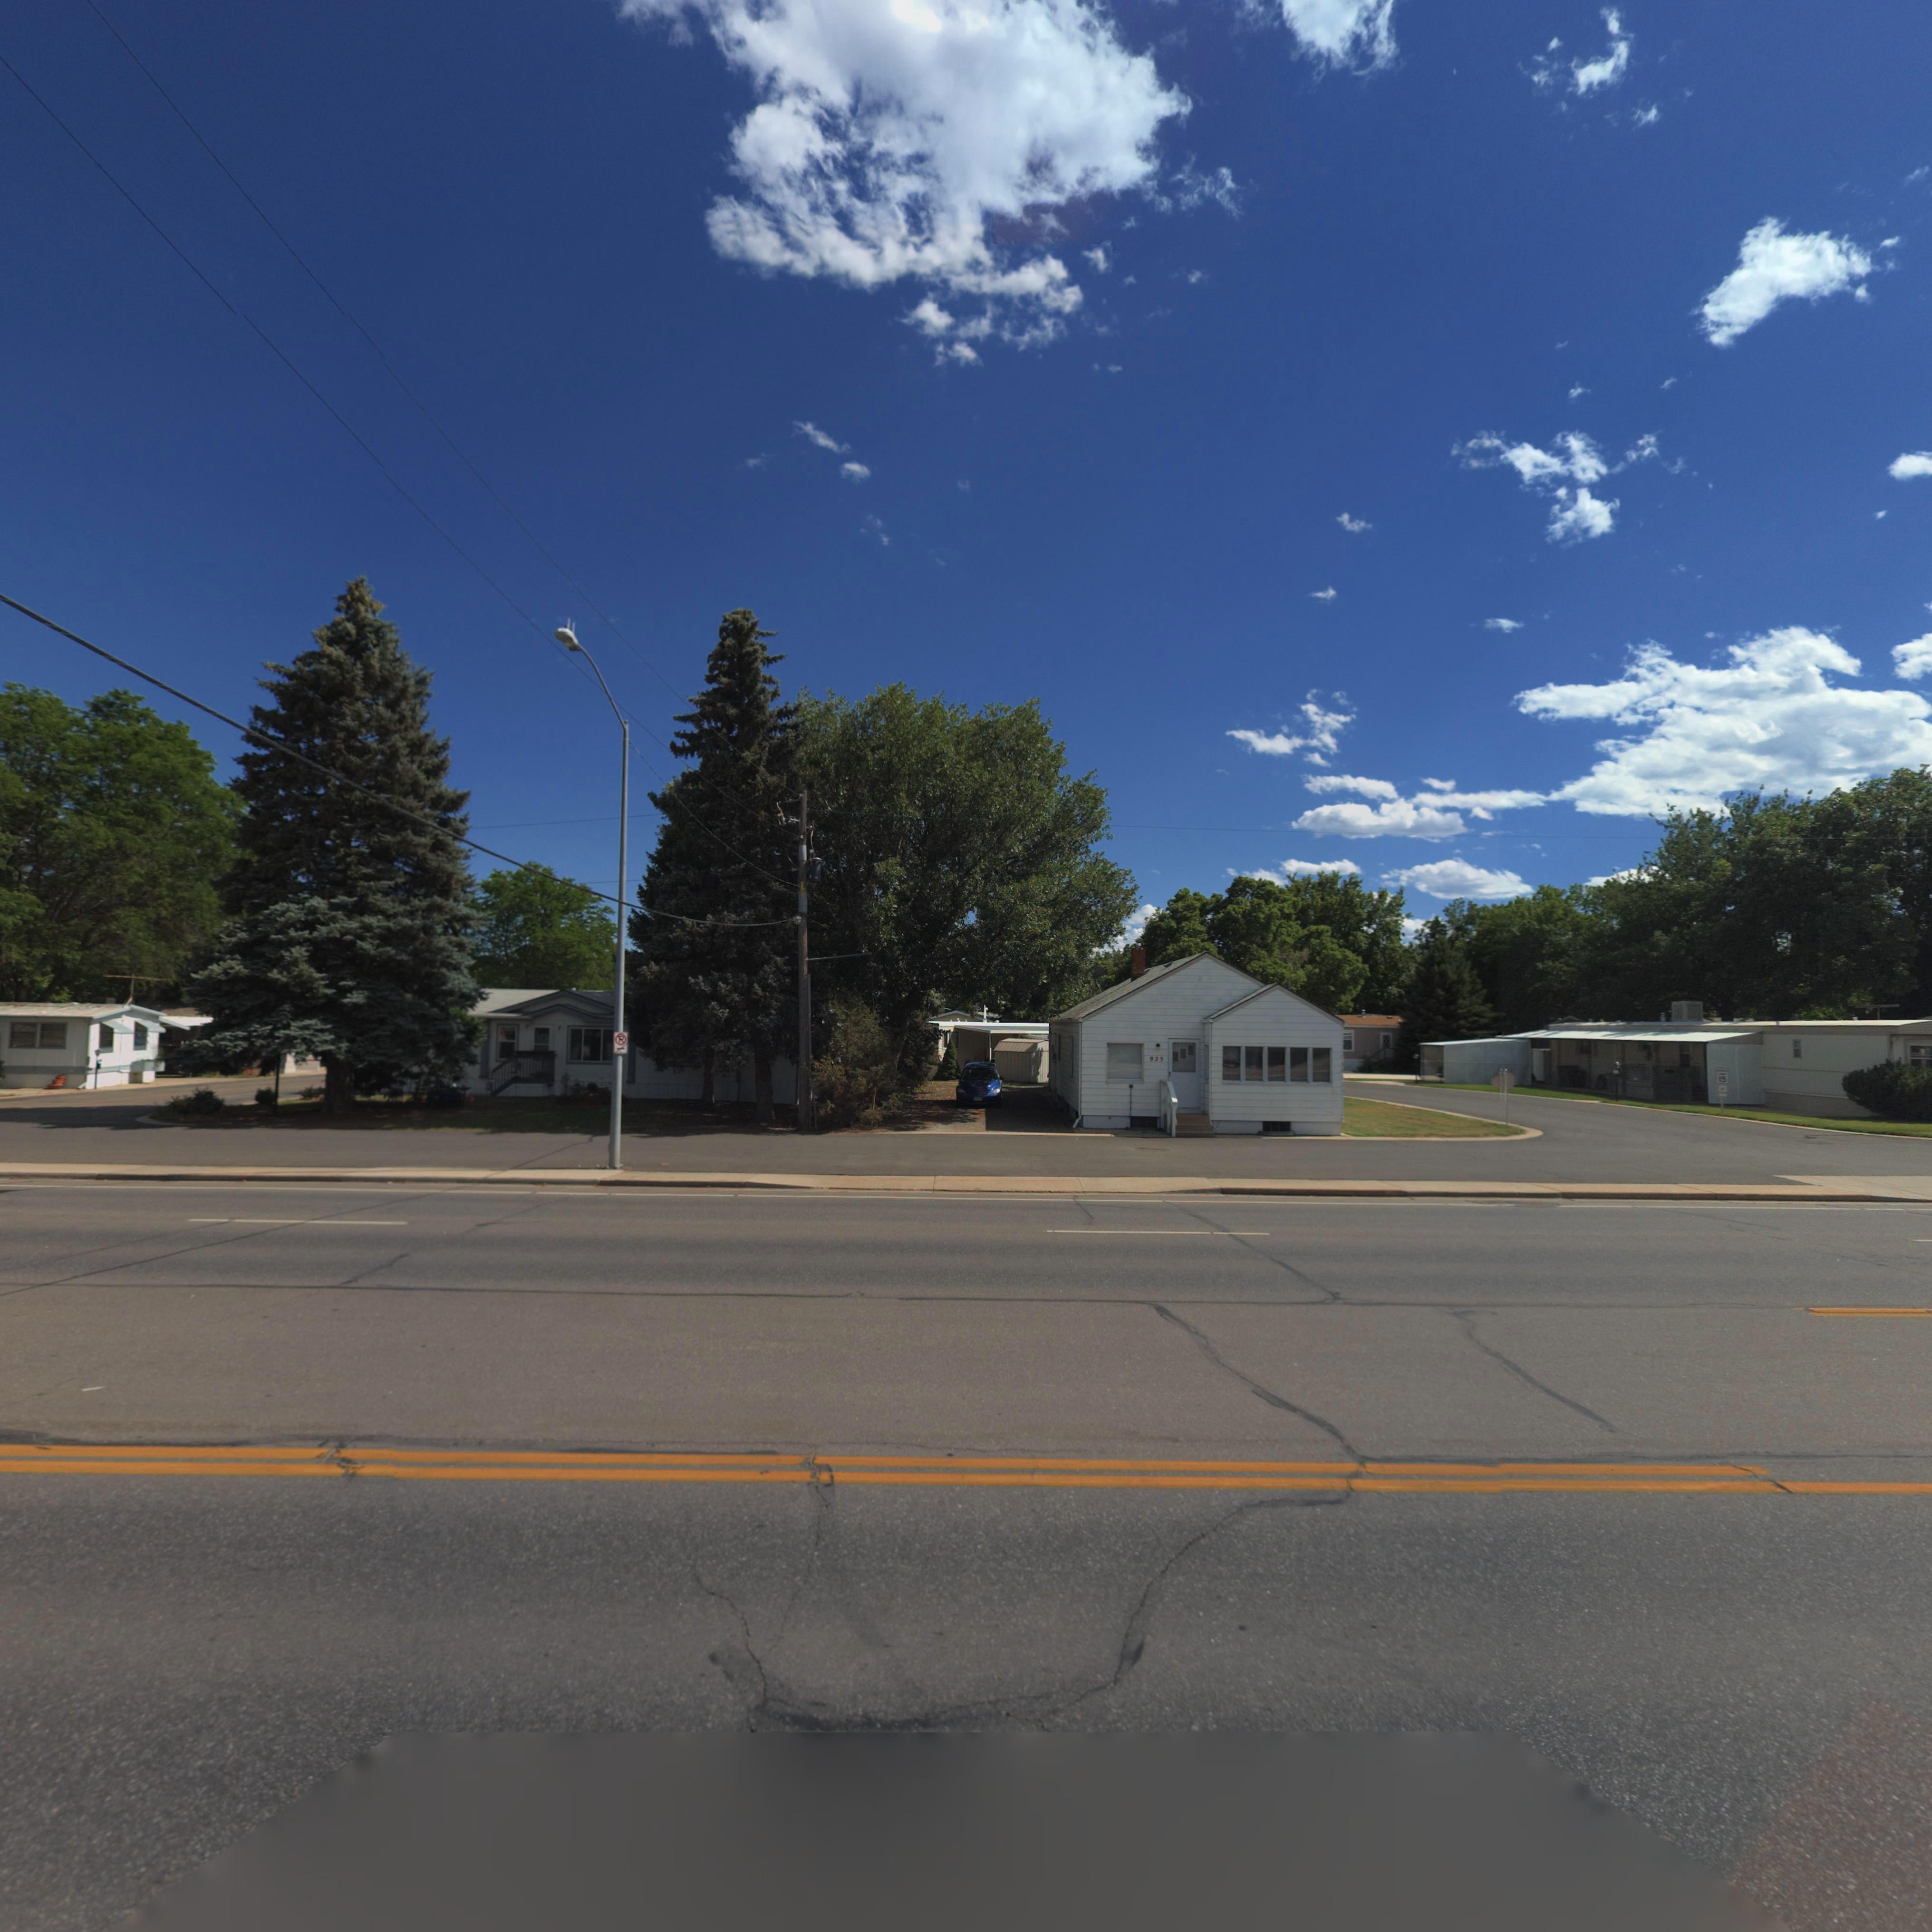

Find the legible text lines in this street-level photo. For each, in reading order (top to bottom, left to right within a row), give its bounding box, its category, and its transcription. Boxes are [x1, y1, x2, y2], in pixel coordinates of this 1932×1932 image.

[1150, 1056, 1163, 1062] StreetNumber: 925